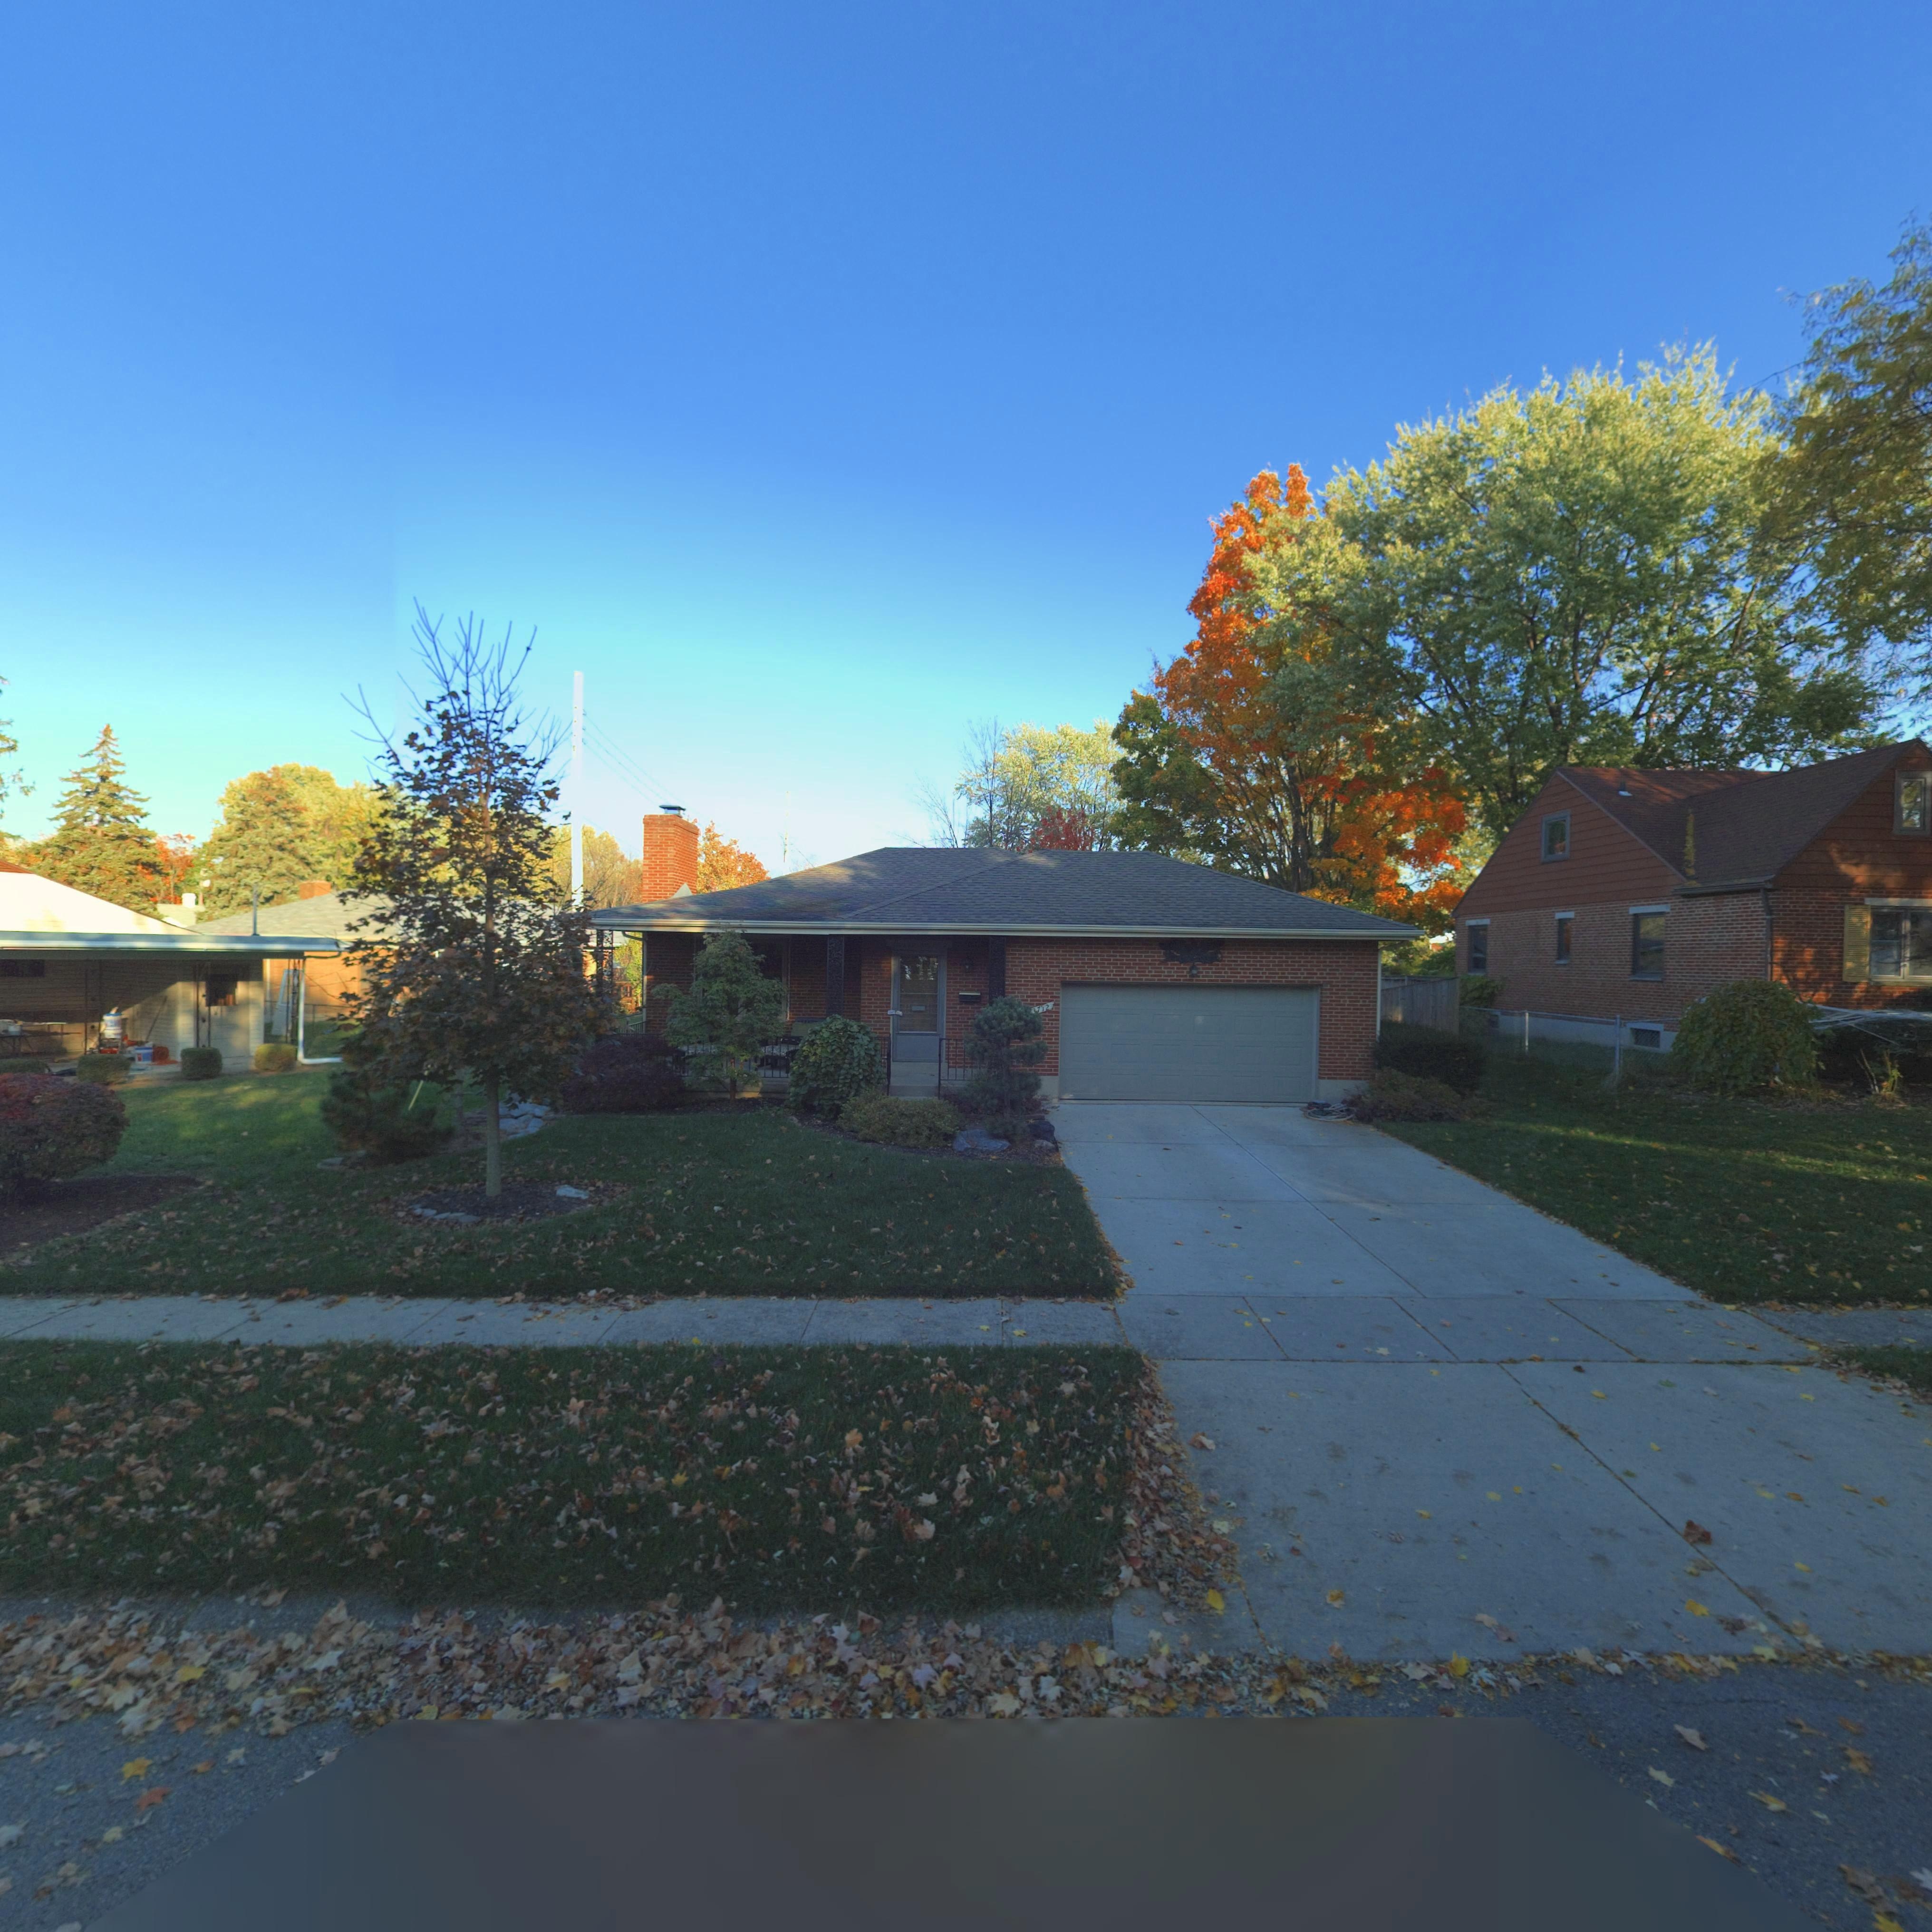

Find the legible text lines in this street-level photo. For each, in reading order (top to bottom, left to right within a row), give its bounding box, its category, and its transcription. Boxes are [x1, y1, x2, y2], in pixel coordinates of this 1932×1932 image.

[1032, 1003, 1050, 1014] StreetNumber: *712